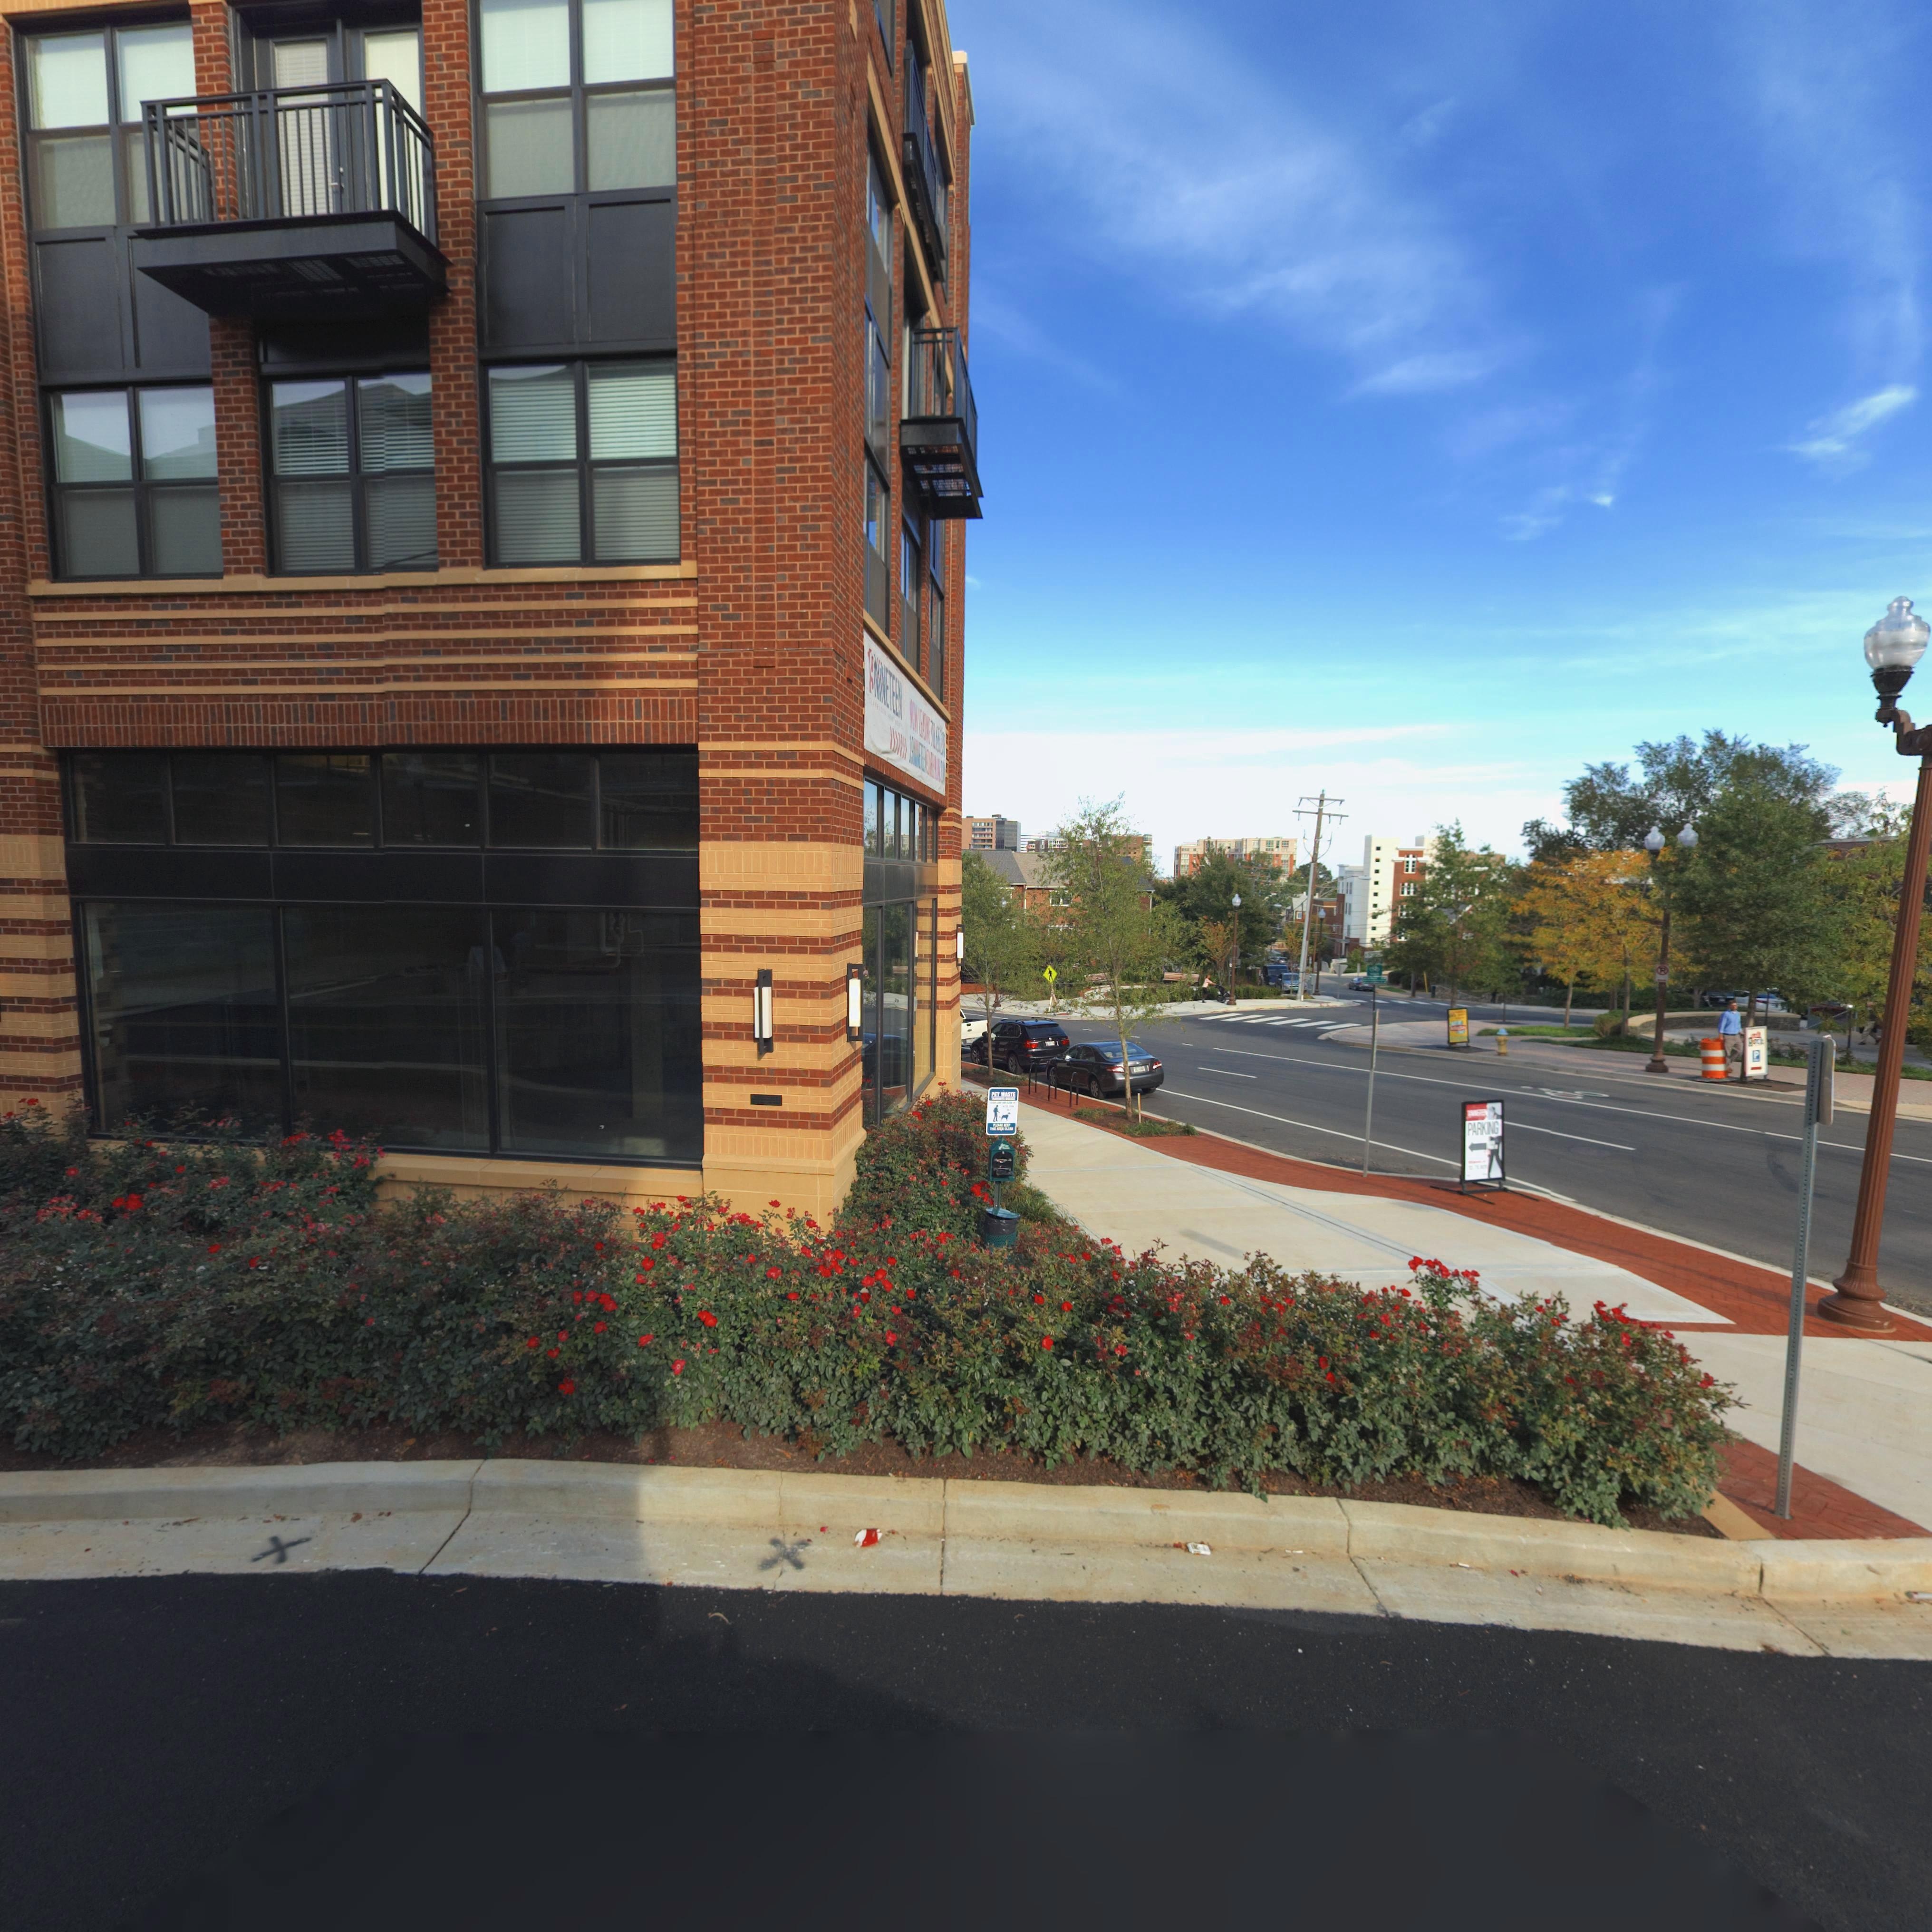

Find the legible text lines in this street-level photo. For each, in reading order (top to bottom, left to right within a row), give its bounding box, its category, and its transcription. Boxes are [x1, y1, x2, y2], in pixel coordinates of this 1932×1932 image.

[1753, 1050, 1760, 1059] None: P
[991, 1091, 1016, 1097] None: PET WASTE
[1467, 1120, 1500, 1137] None: PARKING